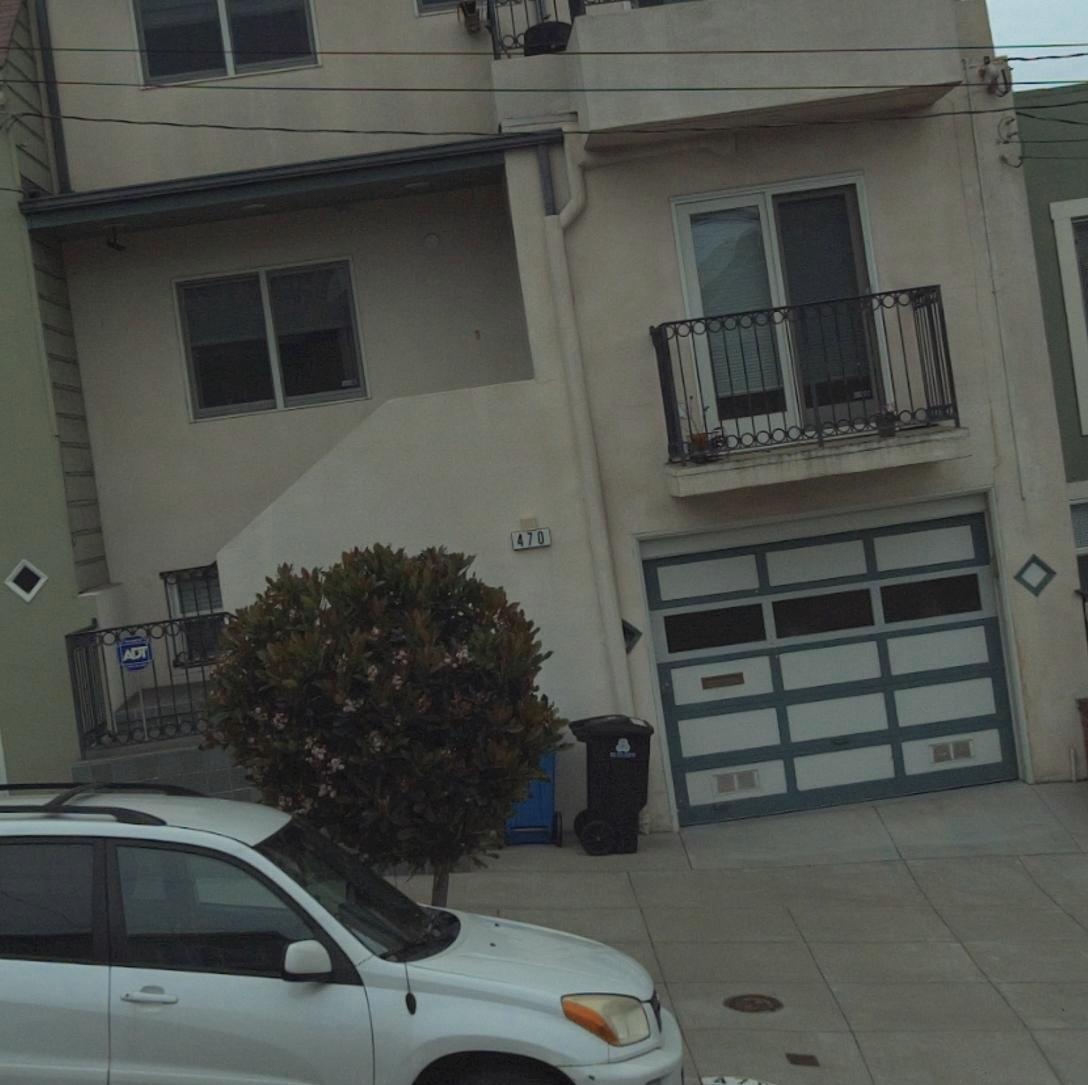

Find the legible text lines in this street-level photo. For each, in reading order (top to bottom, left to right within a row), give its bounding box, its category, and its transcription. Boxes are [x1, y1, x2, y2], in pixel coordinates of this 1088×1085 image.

[515, 529, 547, 549] StreetNumber: 470
[119, 644, 150, 663] None: ADT